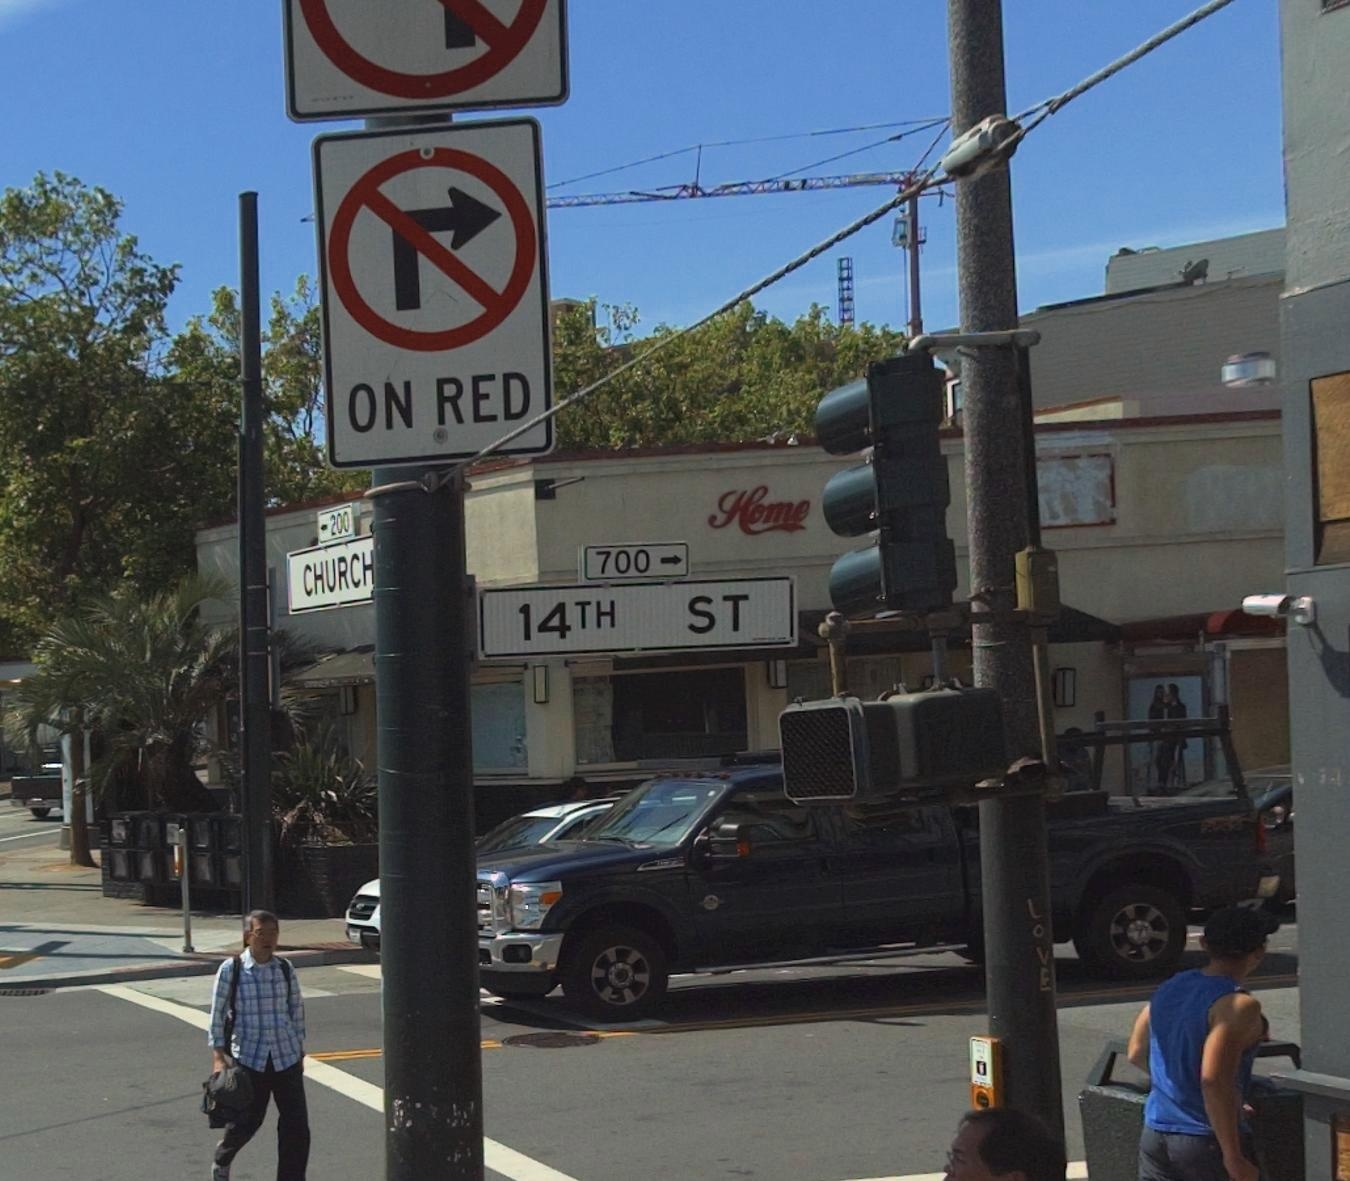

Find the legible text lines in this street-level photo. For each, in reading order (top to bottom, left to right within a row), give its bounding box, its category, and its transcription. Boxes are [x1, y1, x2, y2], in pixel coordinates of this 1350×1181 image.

[346, 366, 532, 437] None: ON RED
[318, 508, 351, 540] StreetNumberRange: <-200
[706, 483, 812, 537] BusinessName: Home
[299, 546, 379, 599] StreetName: CHURCH
[589, 545, 684, 577] StreetNumberRange: 700->
[512, 591, 756, 643] StreetName: 14TH ST
[1020, 894, 1055, 996] None: LOVE